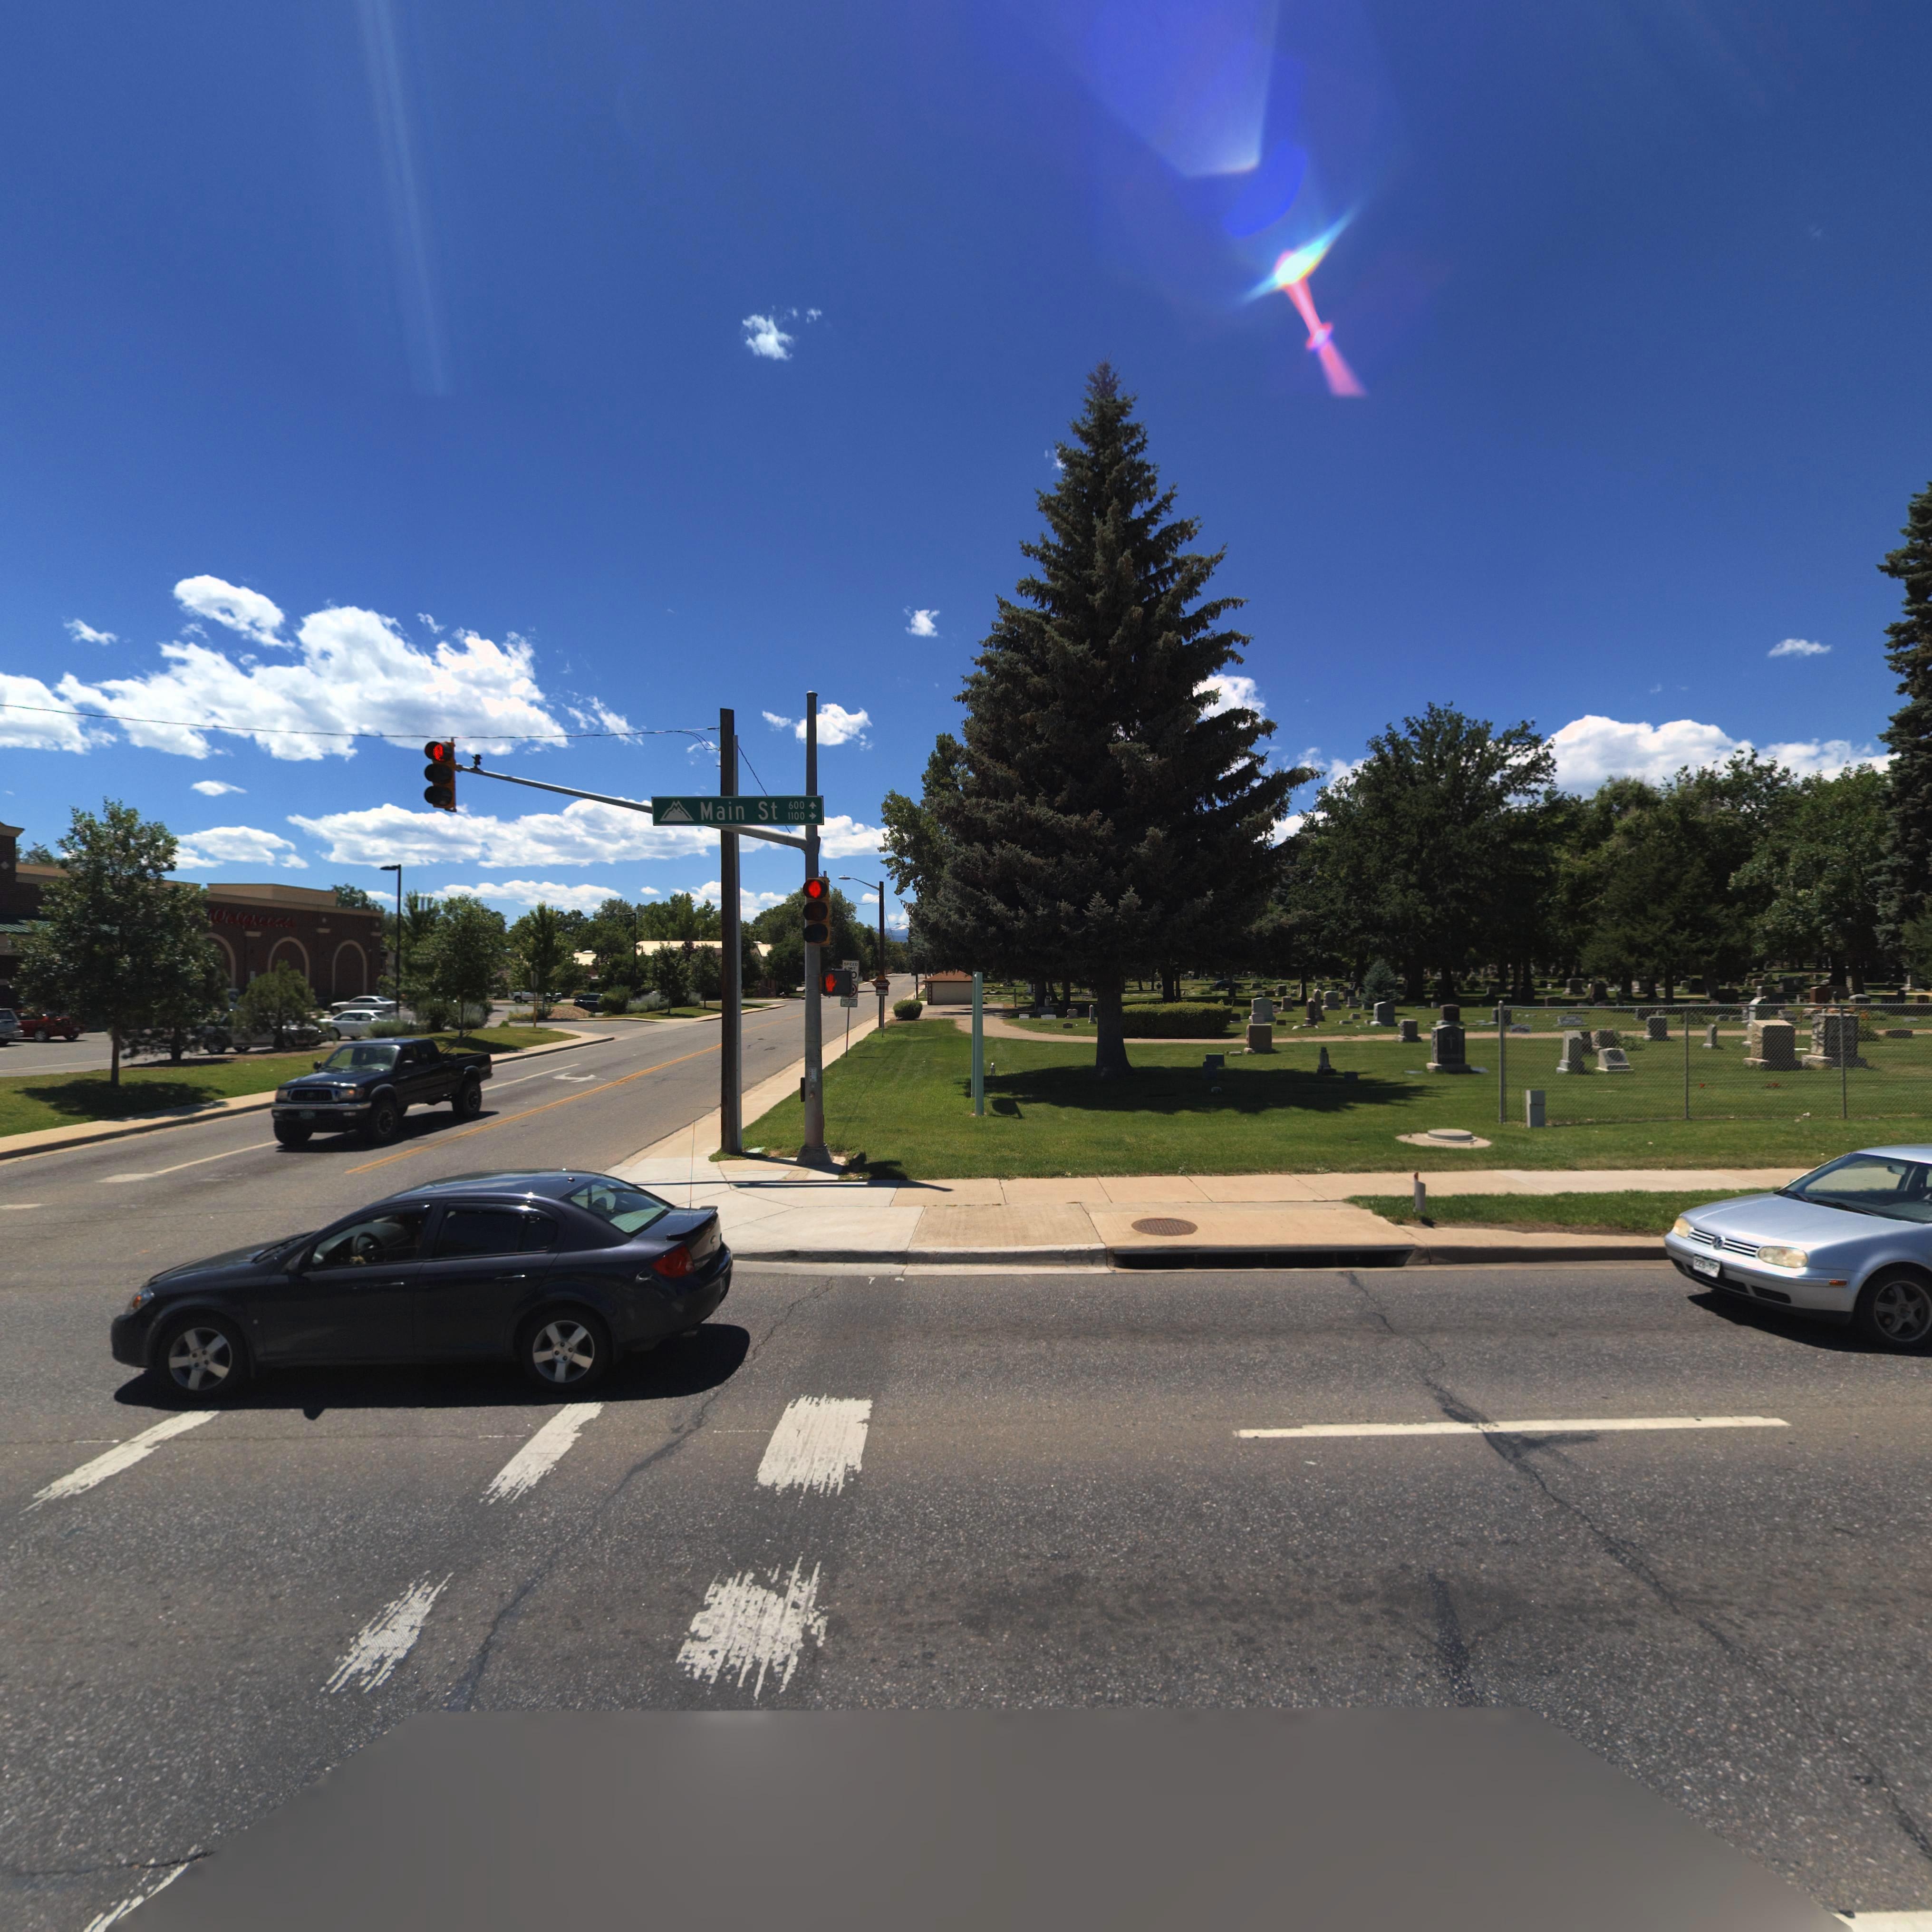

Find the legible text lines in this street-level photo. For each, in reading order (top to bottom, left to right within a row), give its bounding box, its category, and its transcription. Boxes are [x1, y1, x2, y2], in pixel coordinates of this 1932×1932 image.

[700, 801, 777, 821] StreetName: Main St
[787, 800, 805, 810] StreetNumber: 600
[786, 811, 818, 821] StreetNumberRange: 1100->
[210, 907, 297, 930] BusinessName: Walgreens